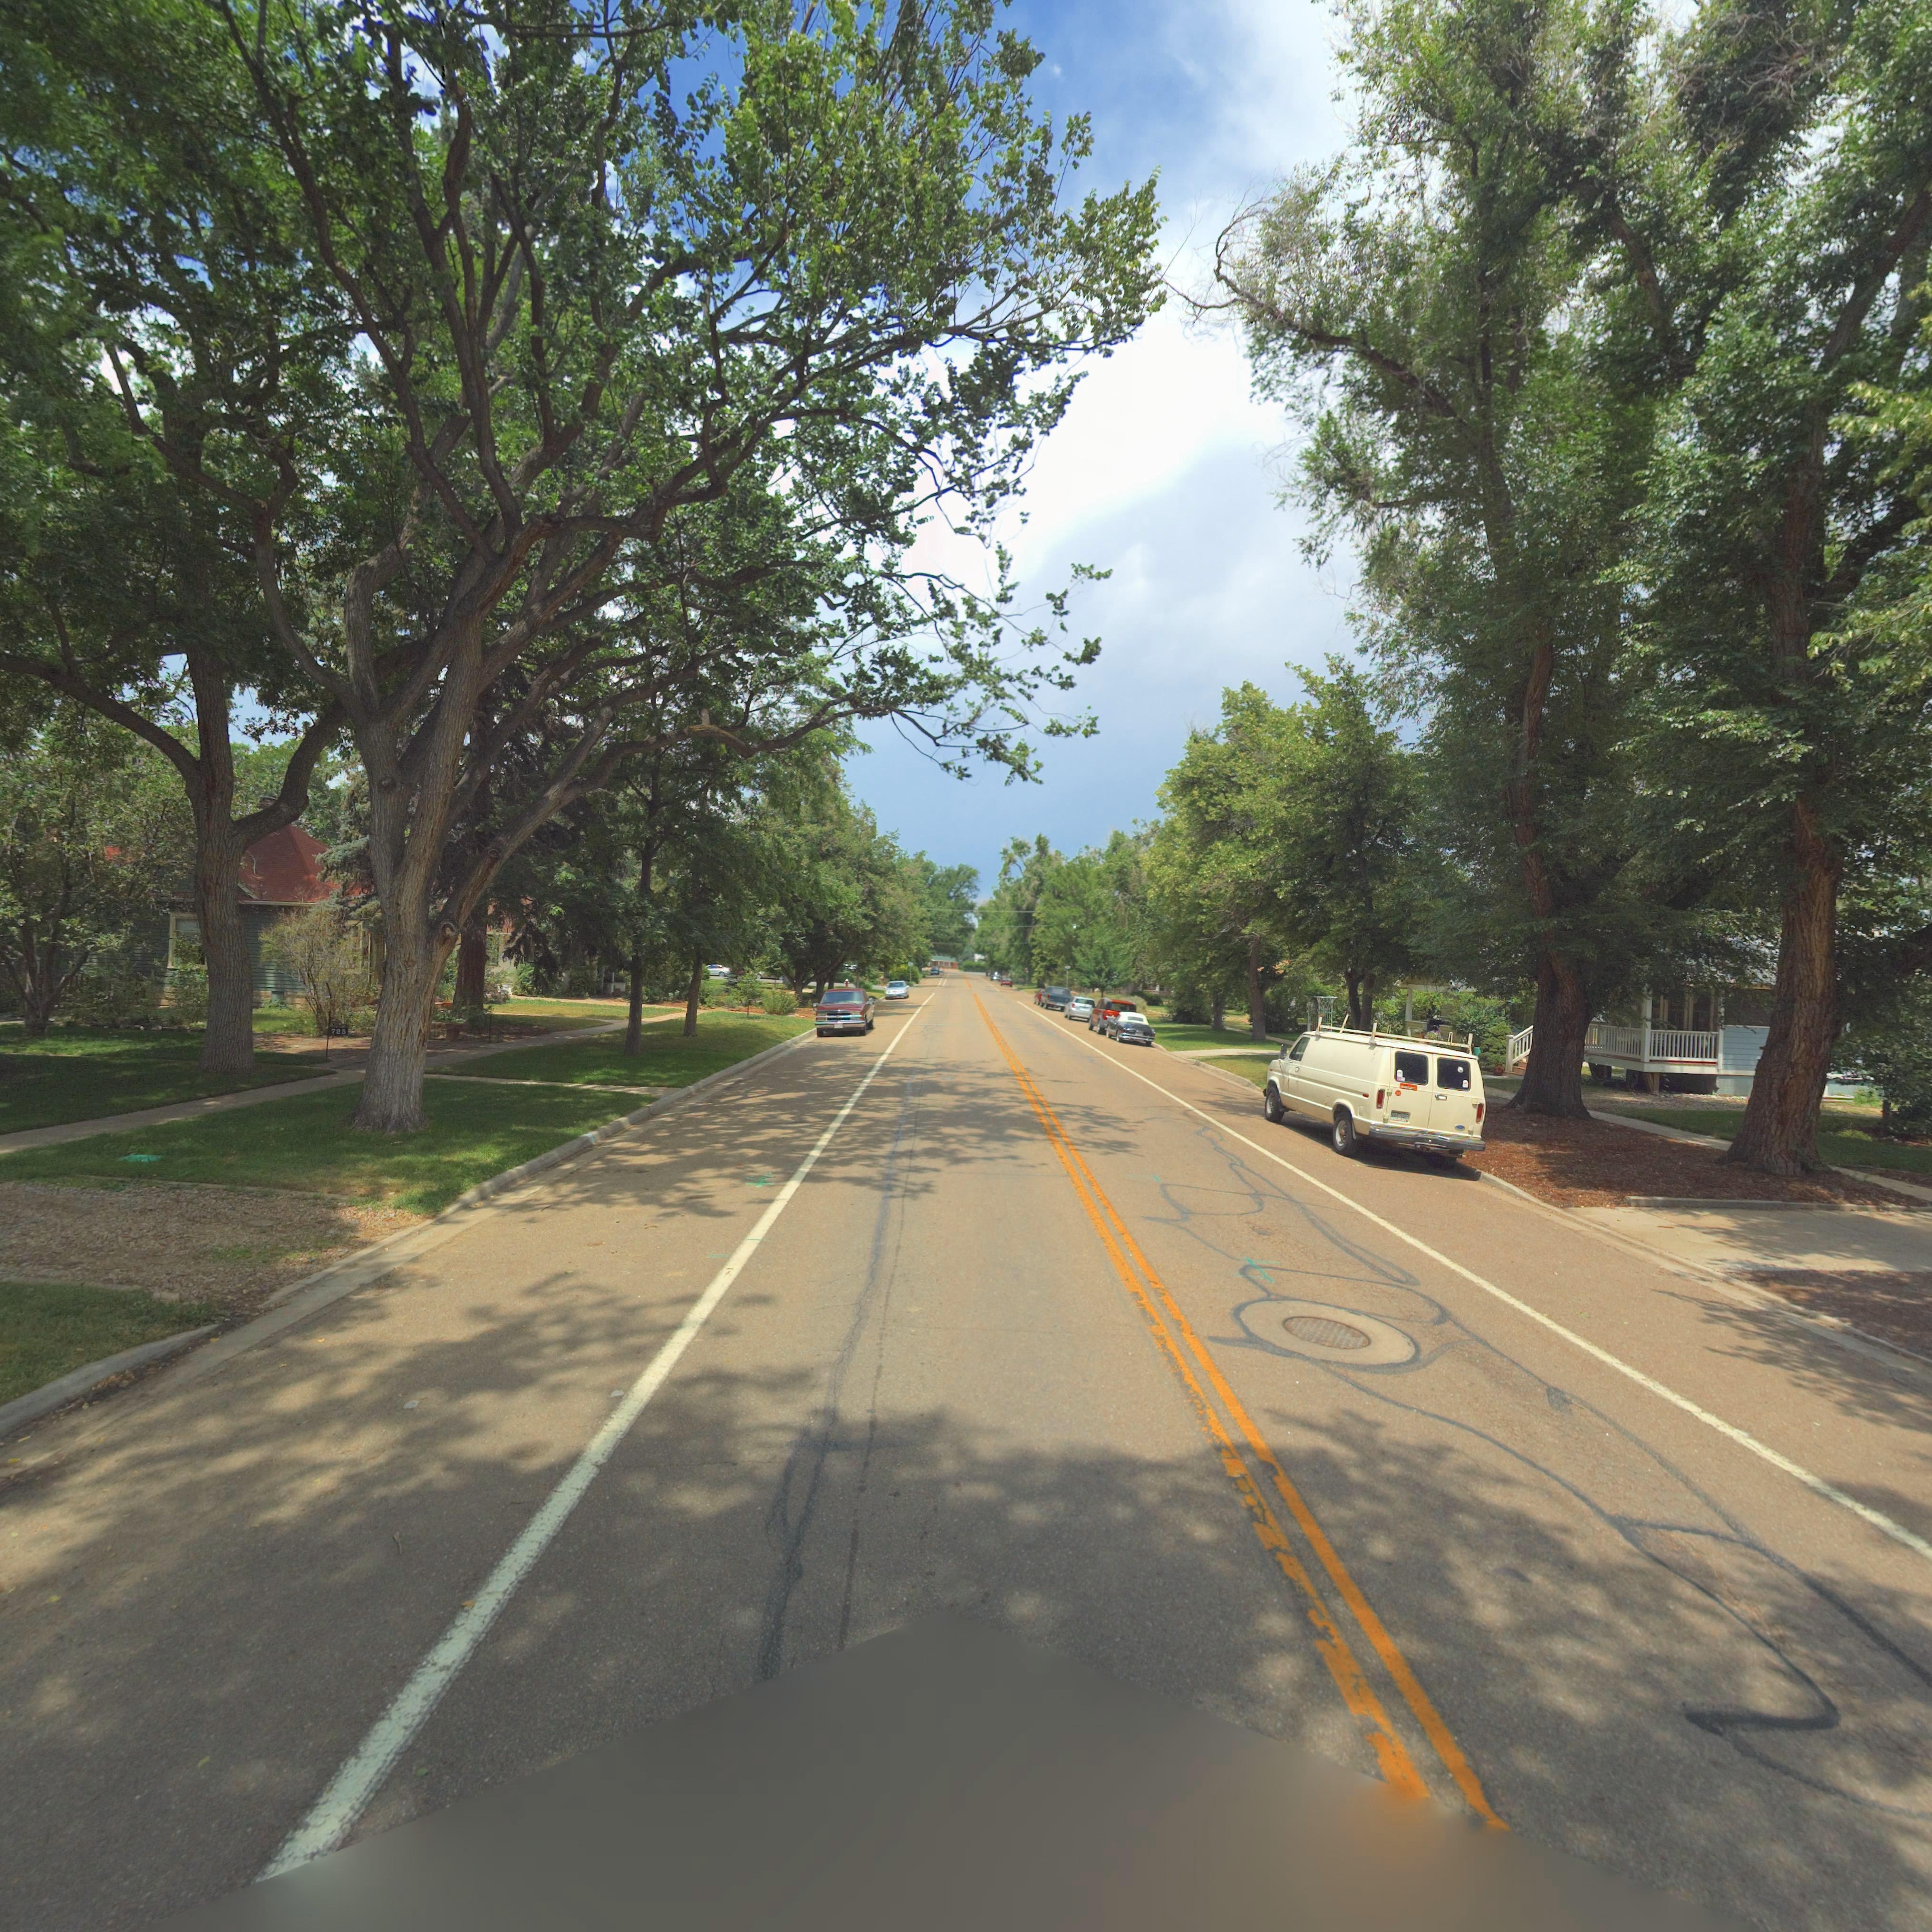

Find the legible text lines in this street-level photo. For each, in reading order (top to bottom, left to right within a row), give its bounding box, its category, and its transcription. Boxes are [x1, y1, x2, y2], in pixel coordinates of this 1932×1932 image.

[331, 1028, 346, 1034] StreetNumber: 725